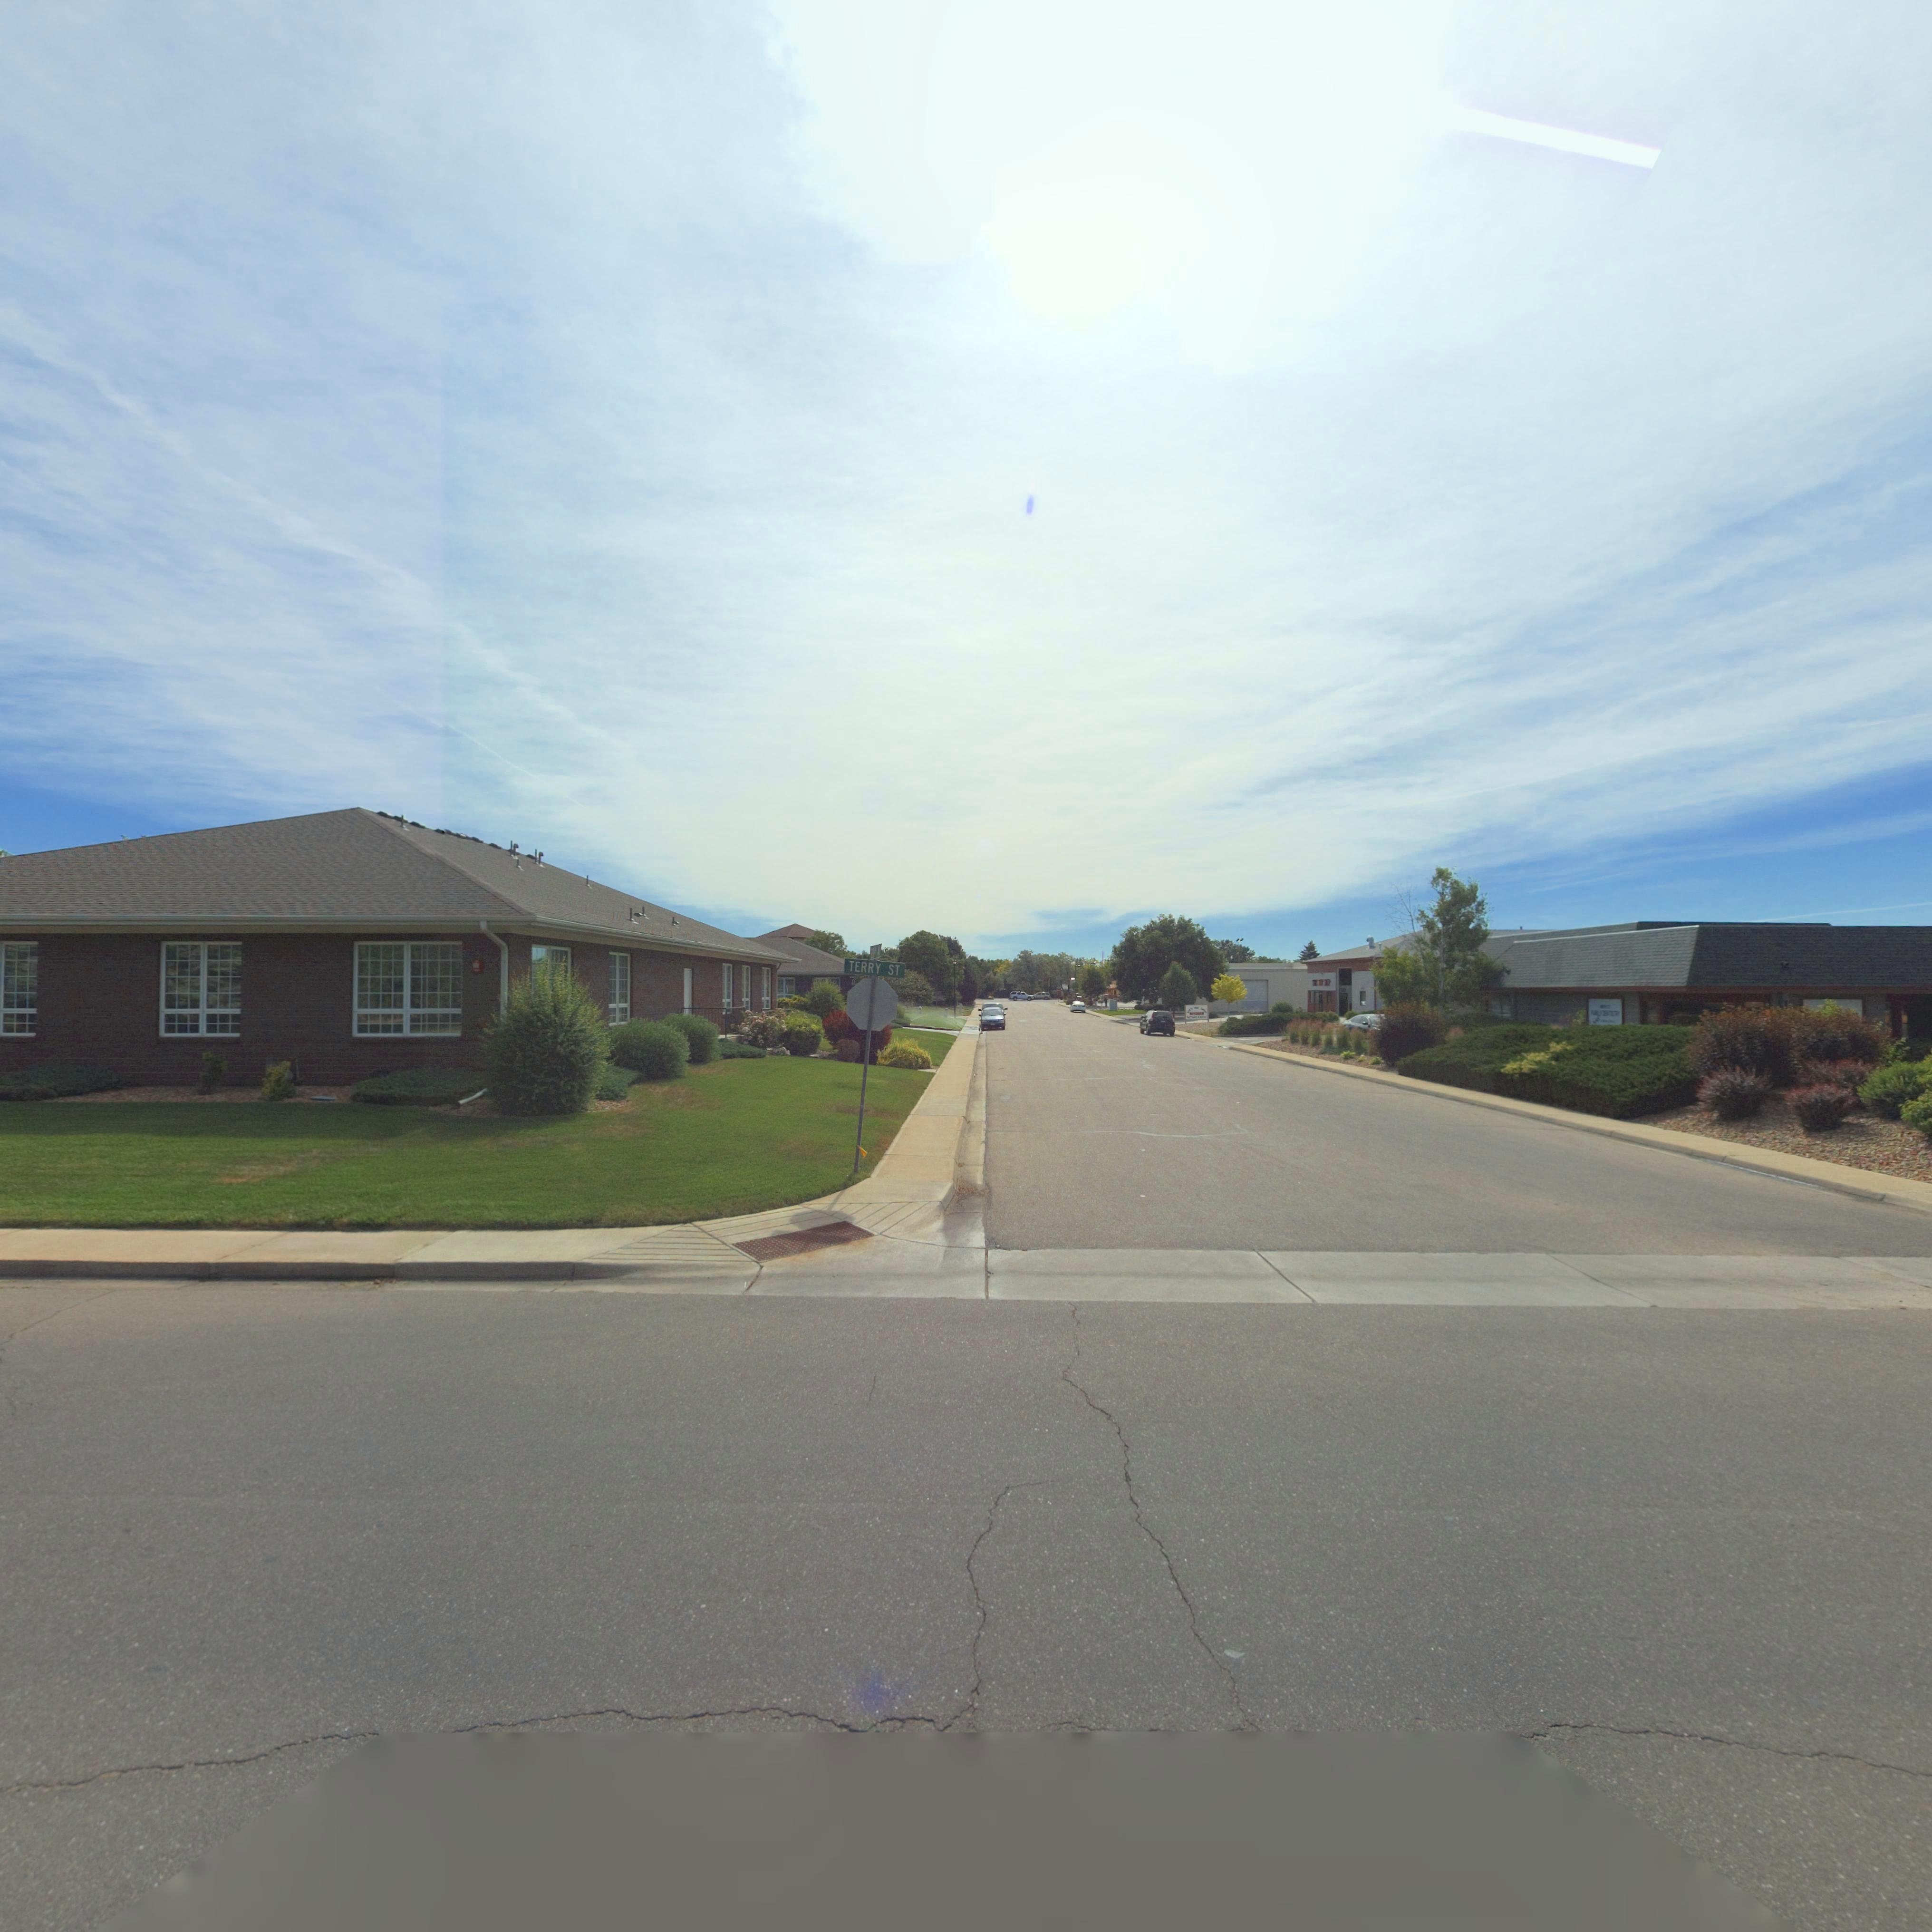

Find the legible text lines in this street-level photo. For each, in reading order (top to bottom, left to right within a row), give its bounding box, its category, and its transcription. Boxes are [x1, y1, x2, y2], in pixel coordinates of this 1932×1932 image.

[870, 946, 880, 958] StreetName: 2*** A*
[849, 960, 900, 976] StreetName: TERRY ST
[1589, 1009, 1620, 1017] BusinessName: ****** *E********